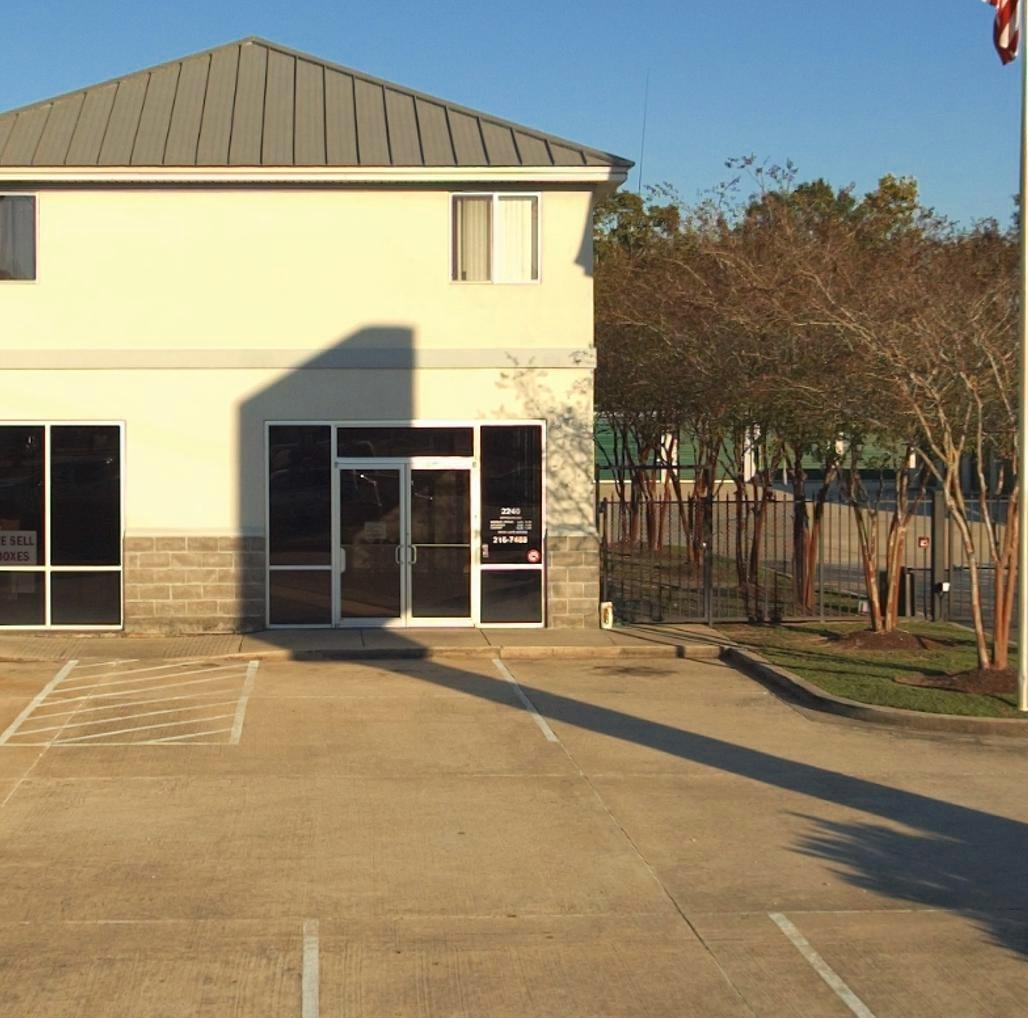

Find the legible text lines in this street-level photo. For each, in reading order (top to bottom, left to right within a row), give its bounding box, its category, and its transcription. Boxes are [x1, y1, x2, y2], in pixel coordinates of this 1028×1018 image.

[500, 506, 522, 515] StreetNumber: 2240
[1, 535, 35, 546] None: E SELL
[491, 535, 529, 544] None: 21*-7*88
[2, 550, 30, 562] None: OXES